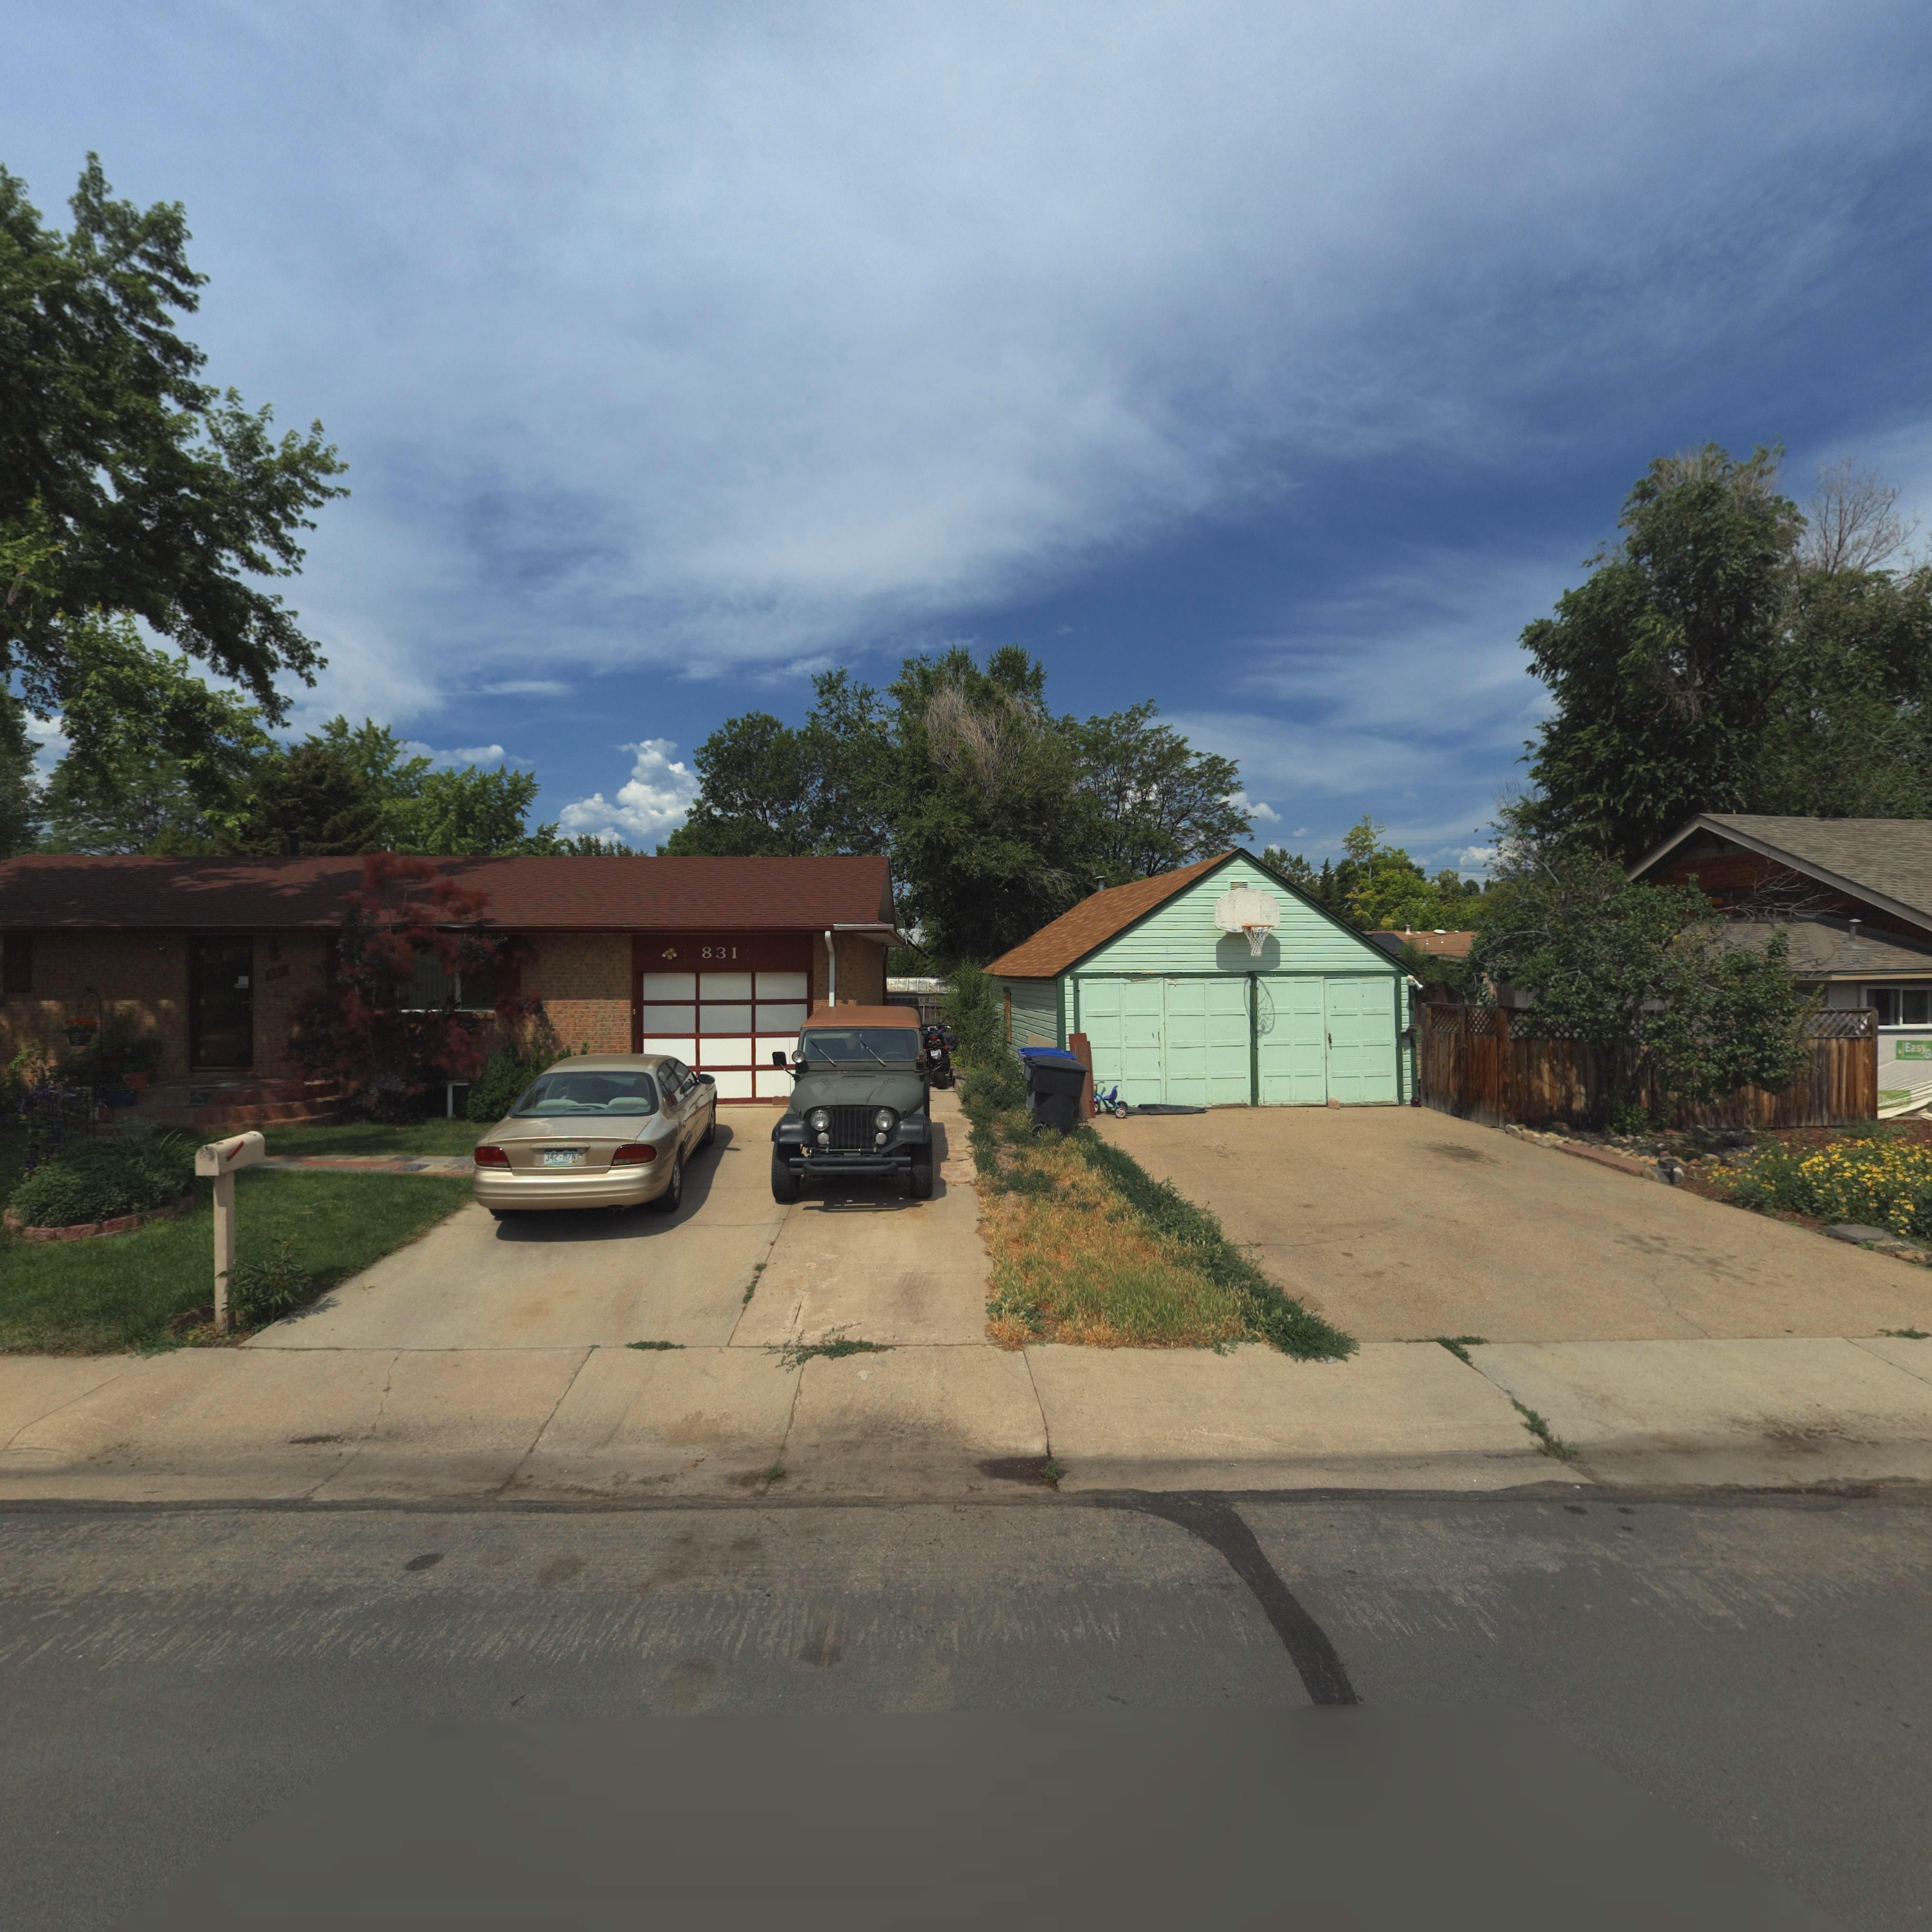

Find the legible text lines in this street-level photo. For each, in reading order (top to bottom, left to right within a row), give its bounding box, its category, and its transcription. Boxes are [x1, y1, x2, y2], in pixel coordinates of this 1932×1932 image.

[701, 946, 737, 959] StreetNumber: 831
[269, 966, 283, 978] StreetNumber: 831